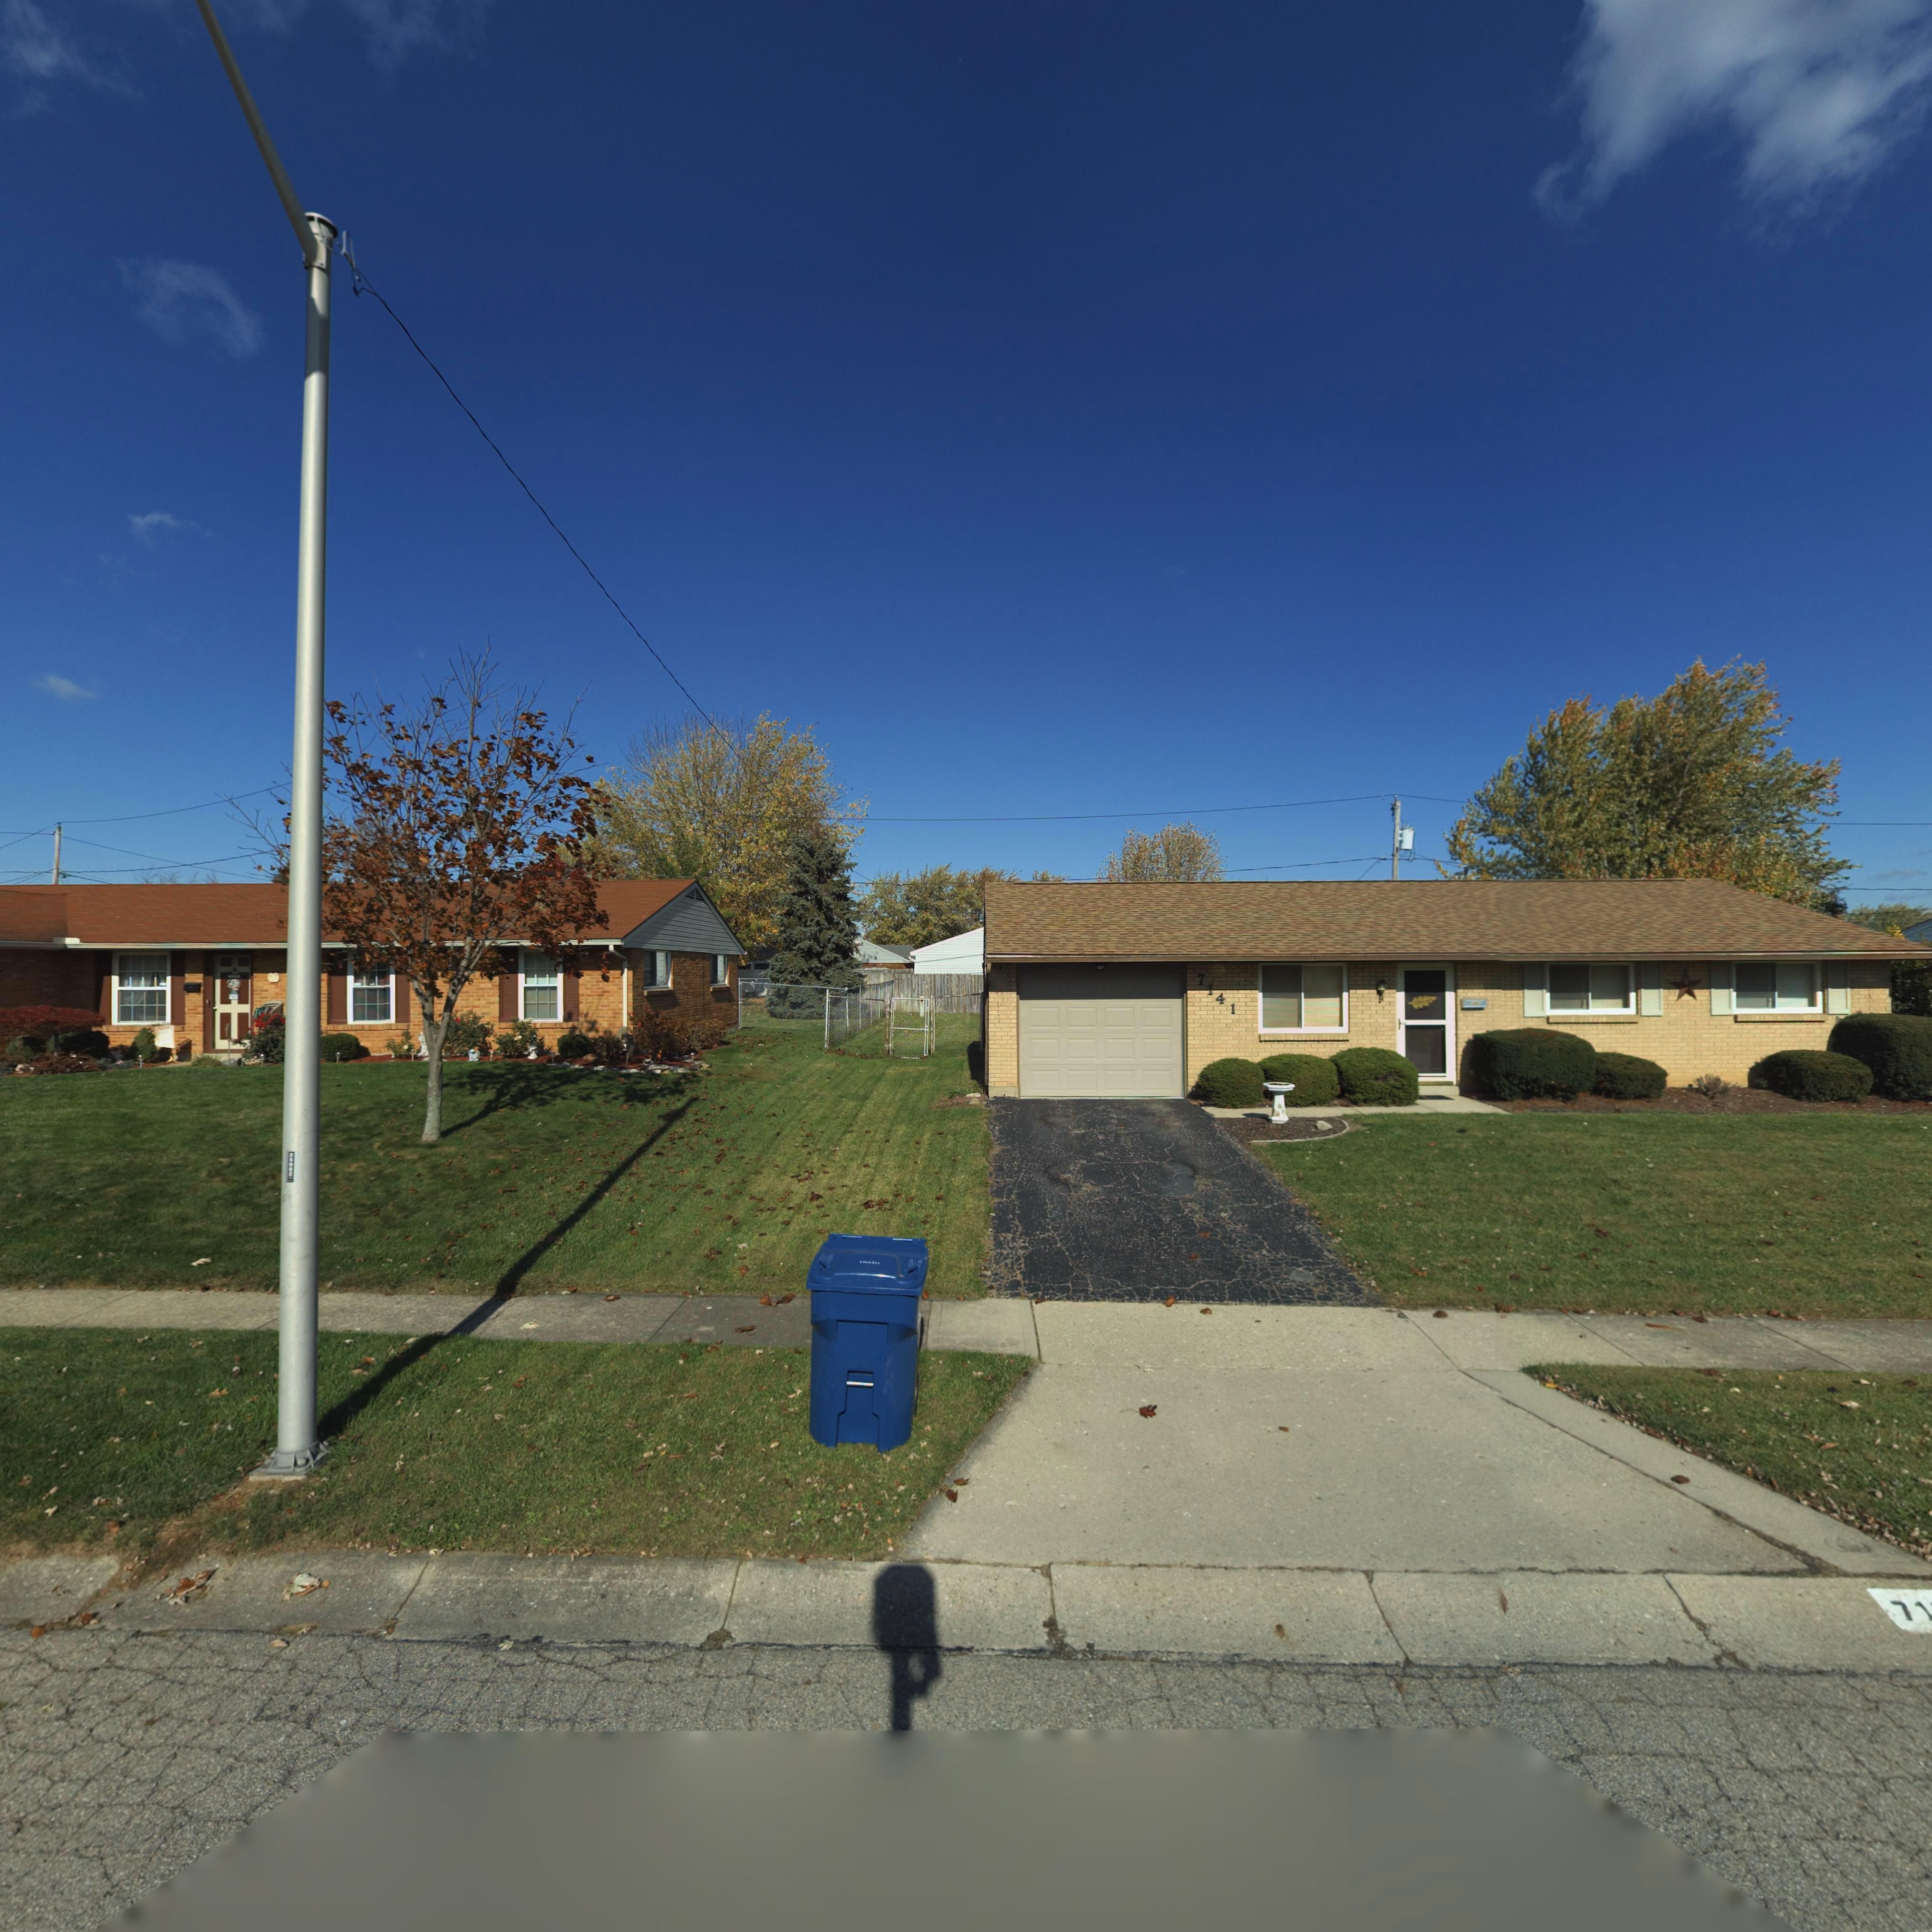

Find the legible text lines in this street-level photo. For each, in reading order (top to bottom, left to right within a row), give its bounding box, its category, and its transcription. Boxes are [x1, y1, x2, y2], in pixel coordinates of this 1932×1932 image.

[1197, 973, 1236, 1015] StreetNumber: 7141
[1888, 1599, 1932, 1623] StreetNumber: 71